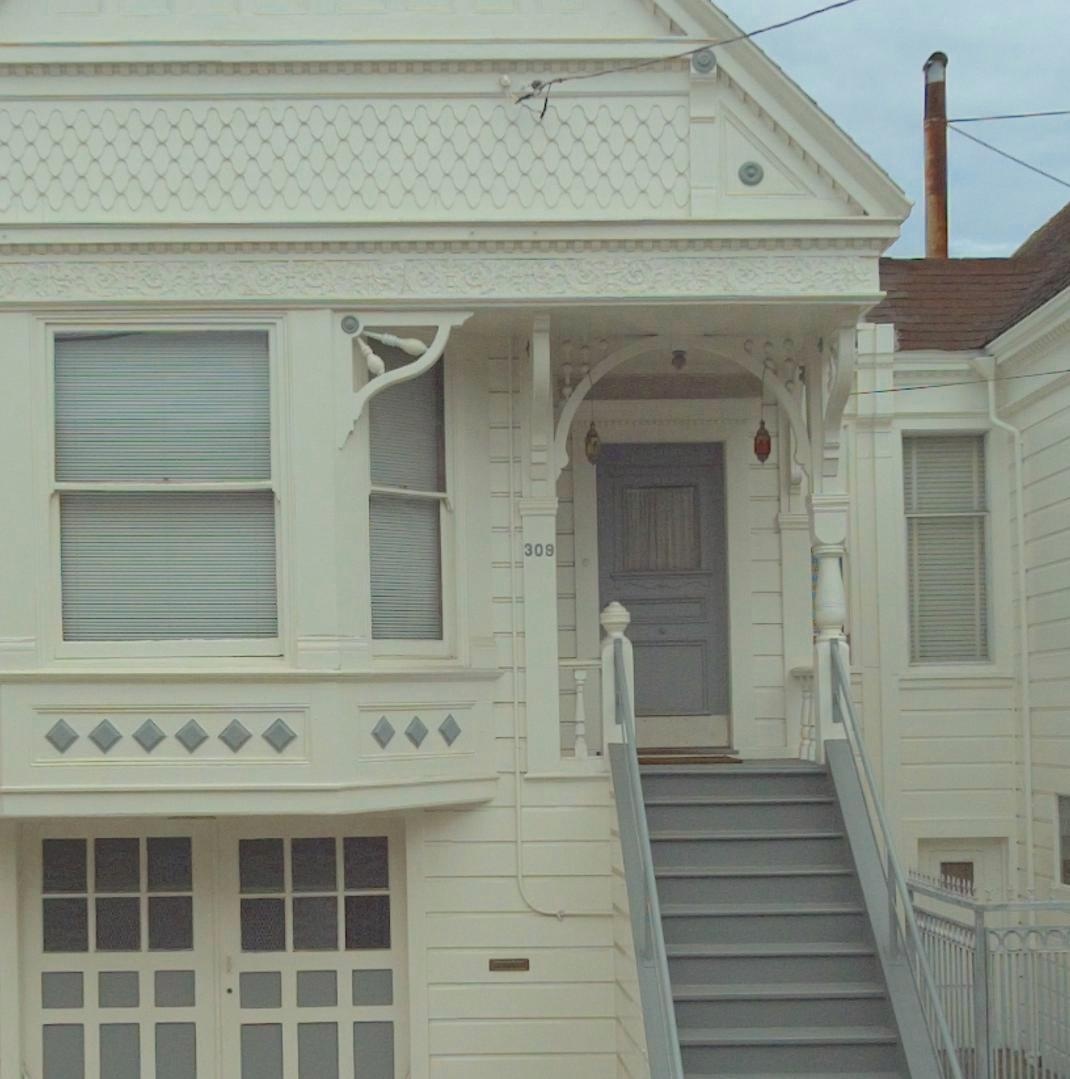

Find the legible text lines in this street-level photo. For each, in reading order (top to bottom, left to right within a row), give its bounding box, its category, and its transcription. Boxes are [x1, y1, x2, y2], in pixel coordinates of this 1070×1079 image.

[523, 542, 556, 558] StreetNumber: 309